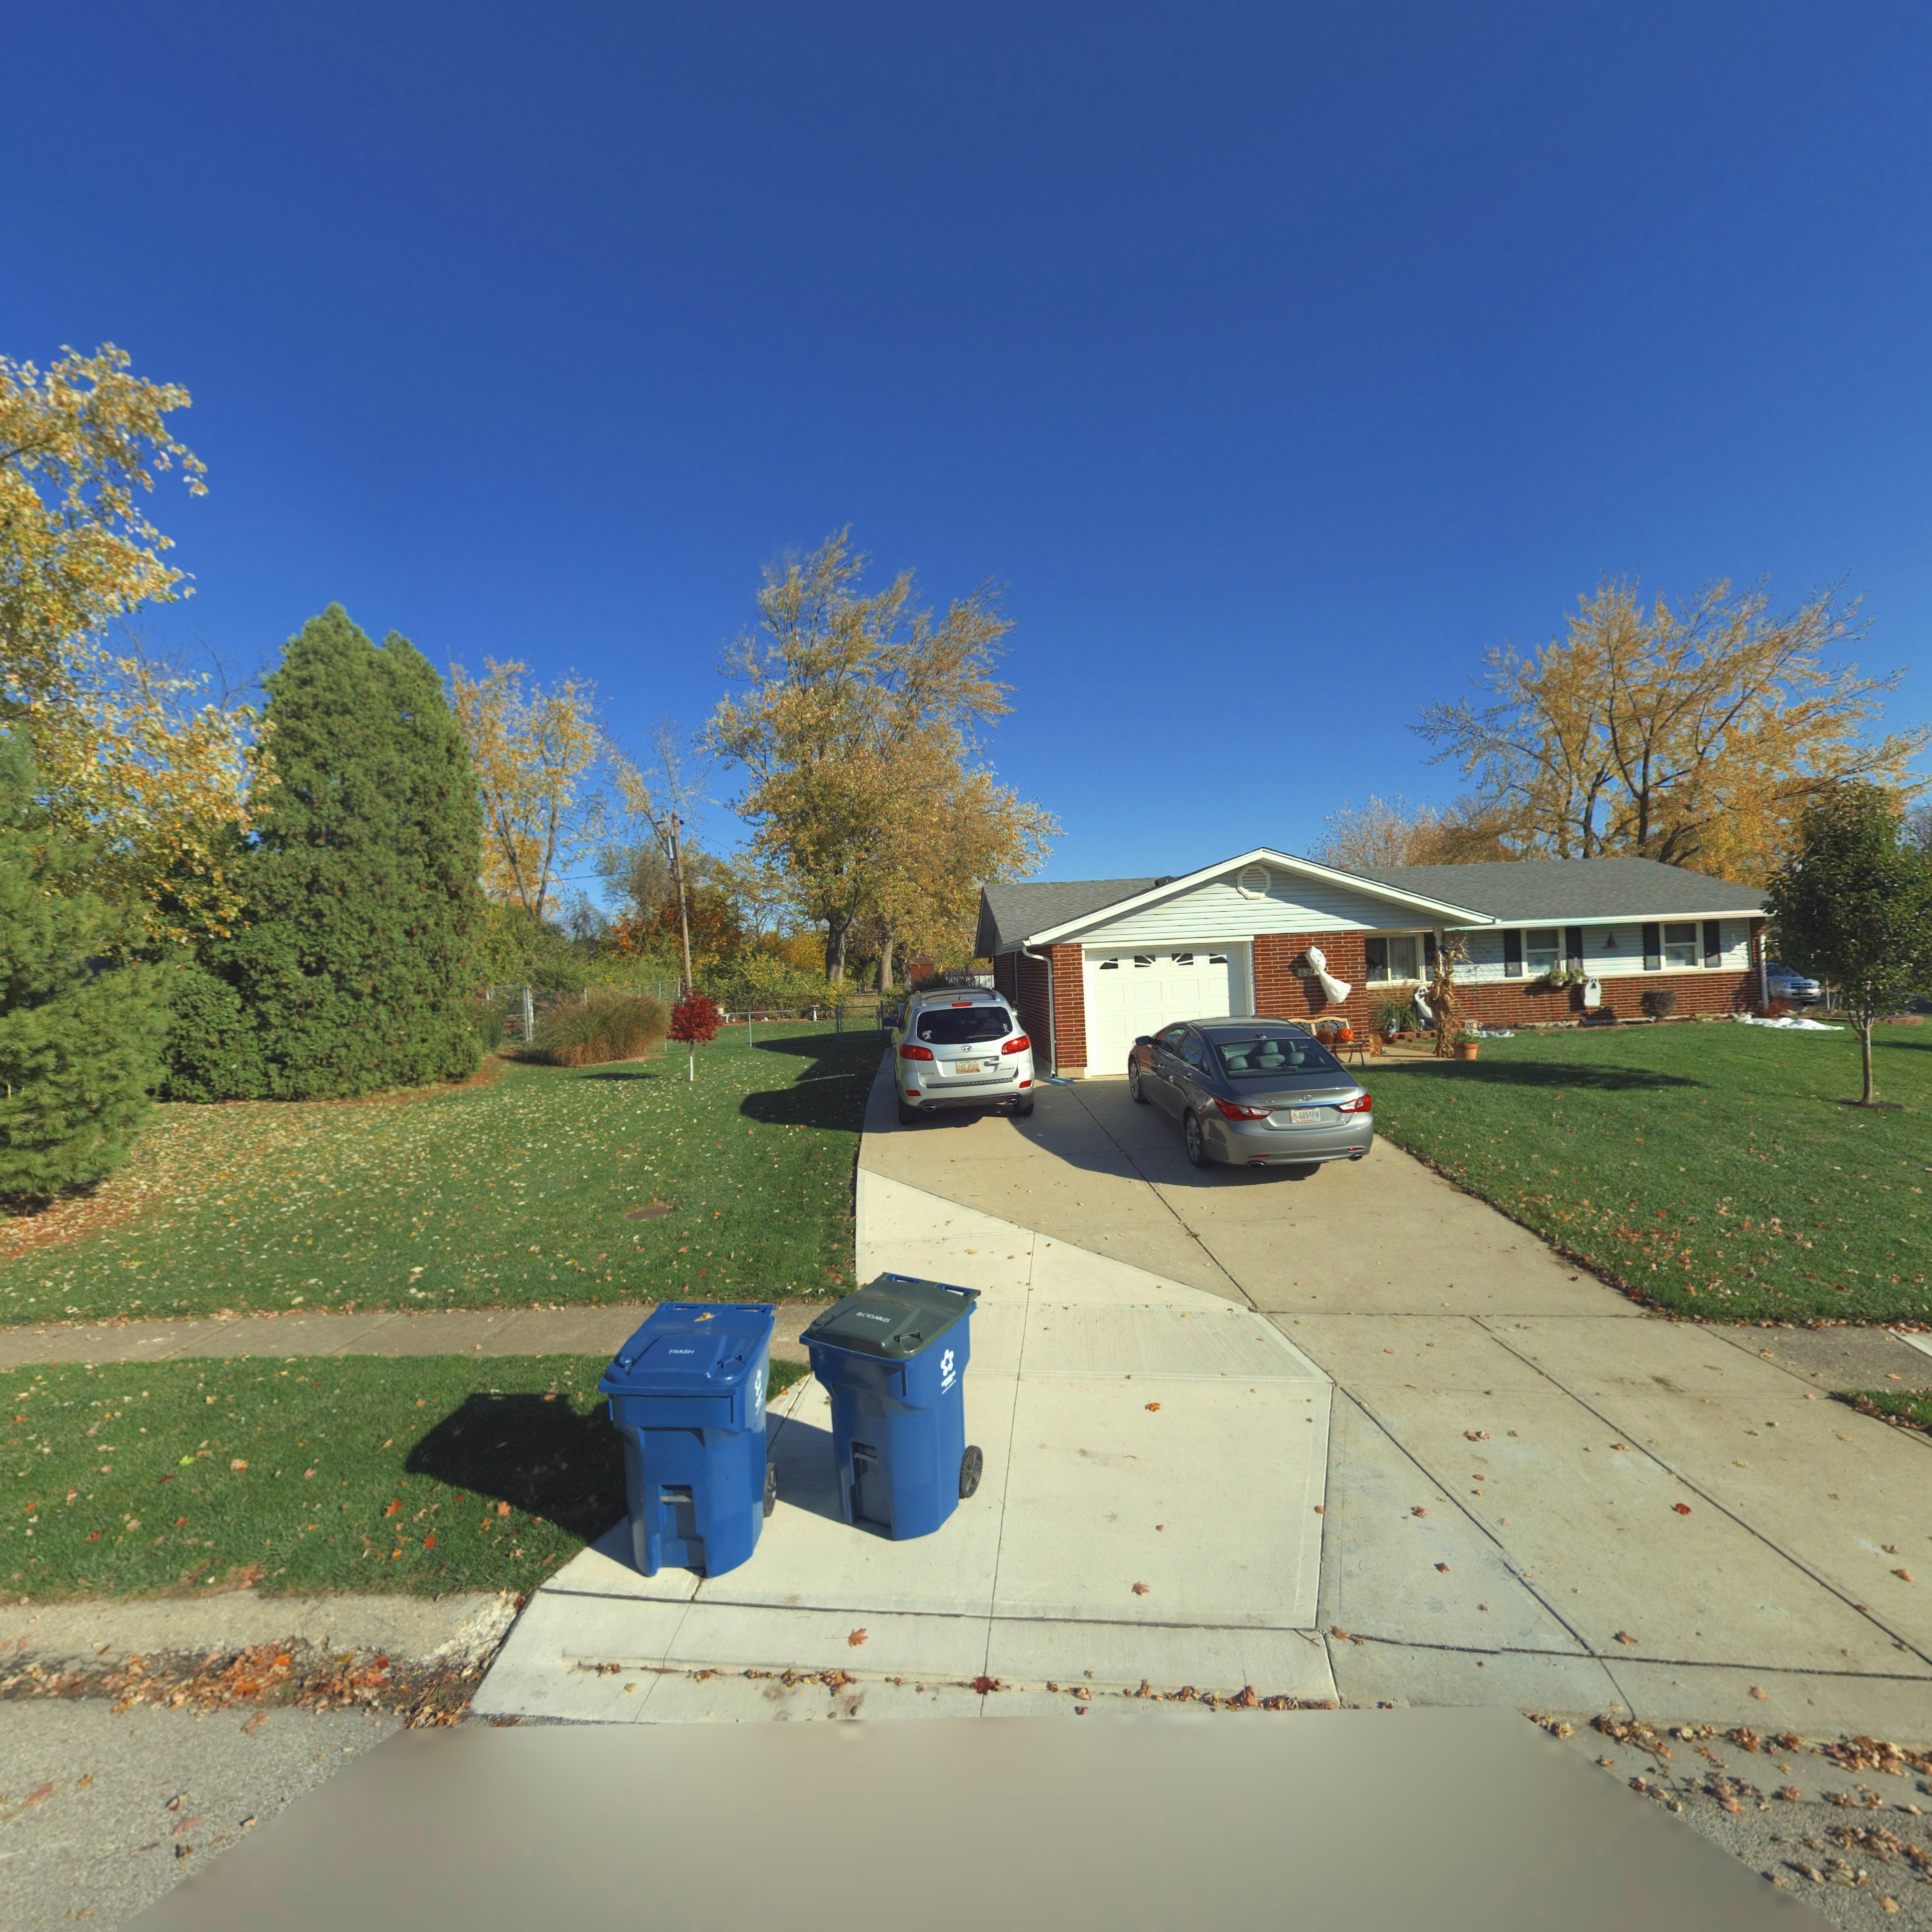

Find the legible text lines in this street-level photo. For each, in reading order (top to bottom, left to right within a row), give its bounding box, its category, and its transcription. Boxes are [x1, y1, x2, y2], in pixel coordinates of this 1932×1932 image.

[1298, 968, 1316, 978] StreetNumber: 624